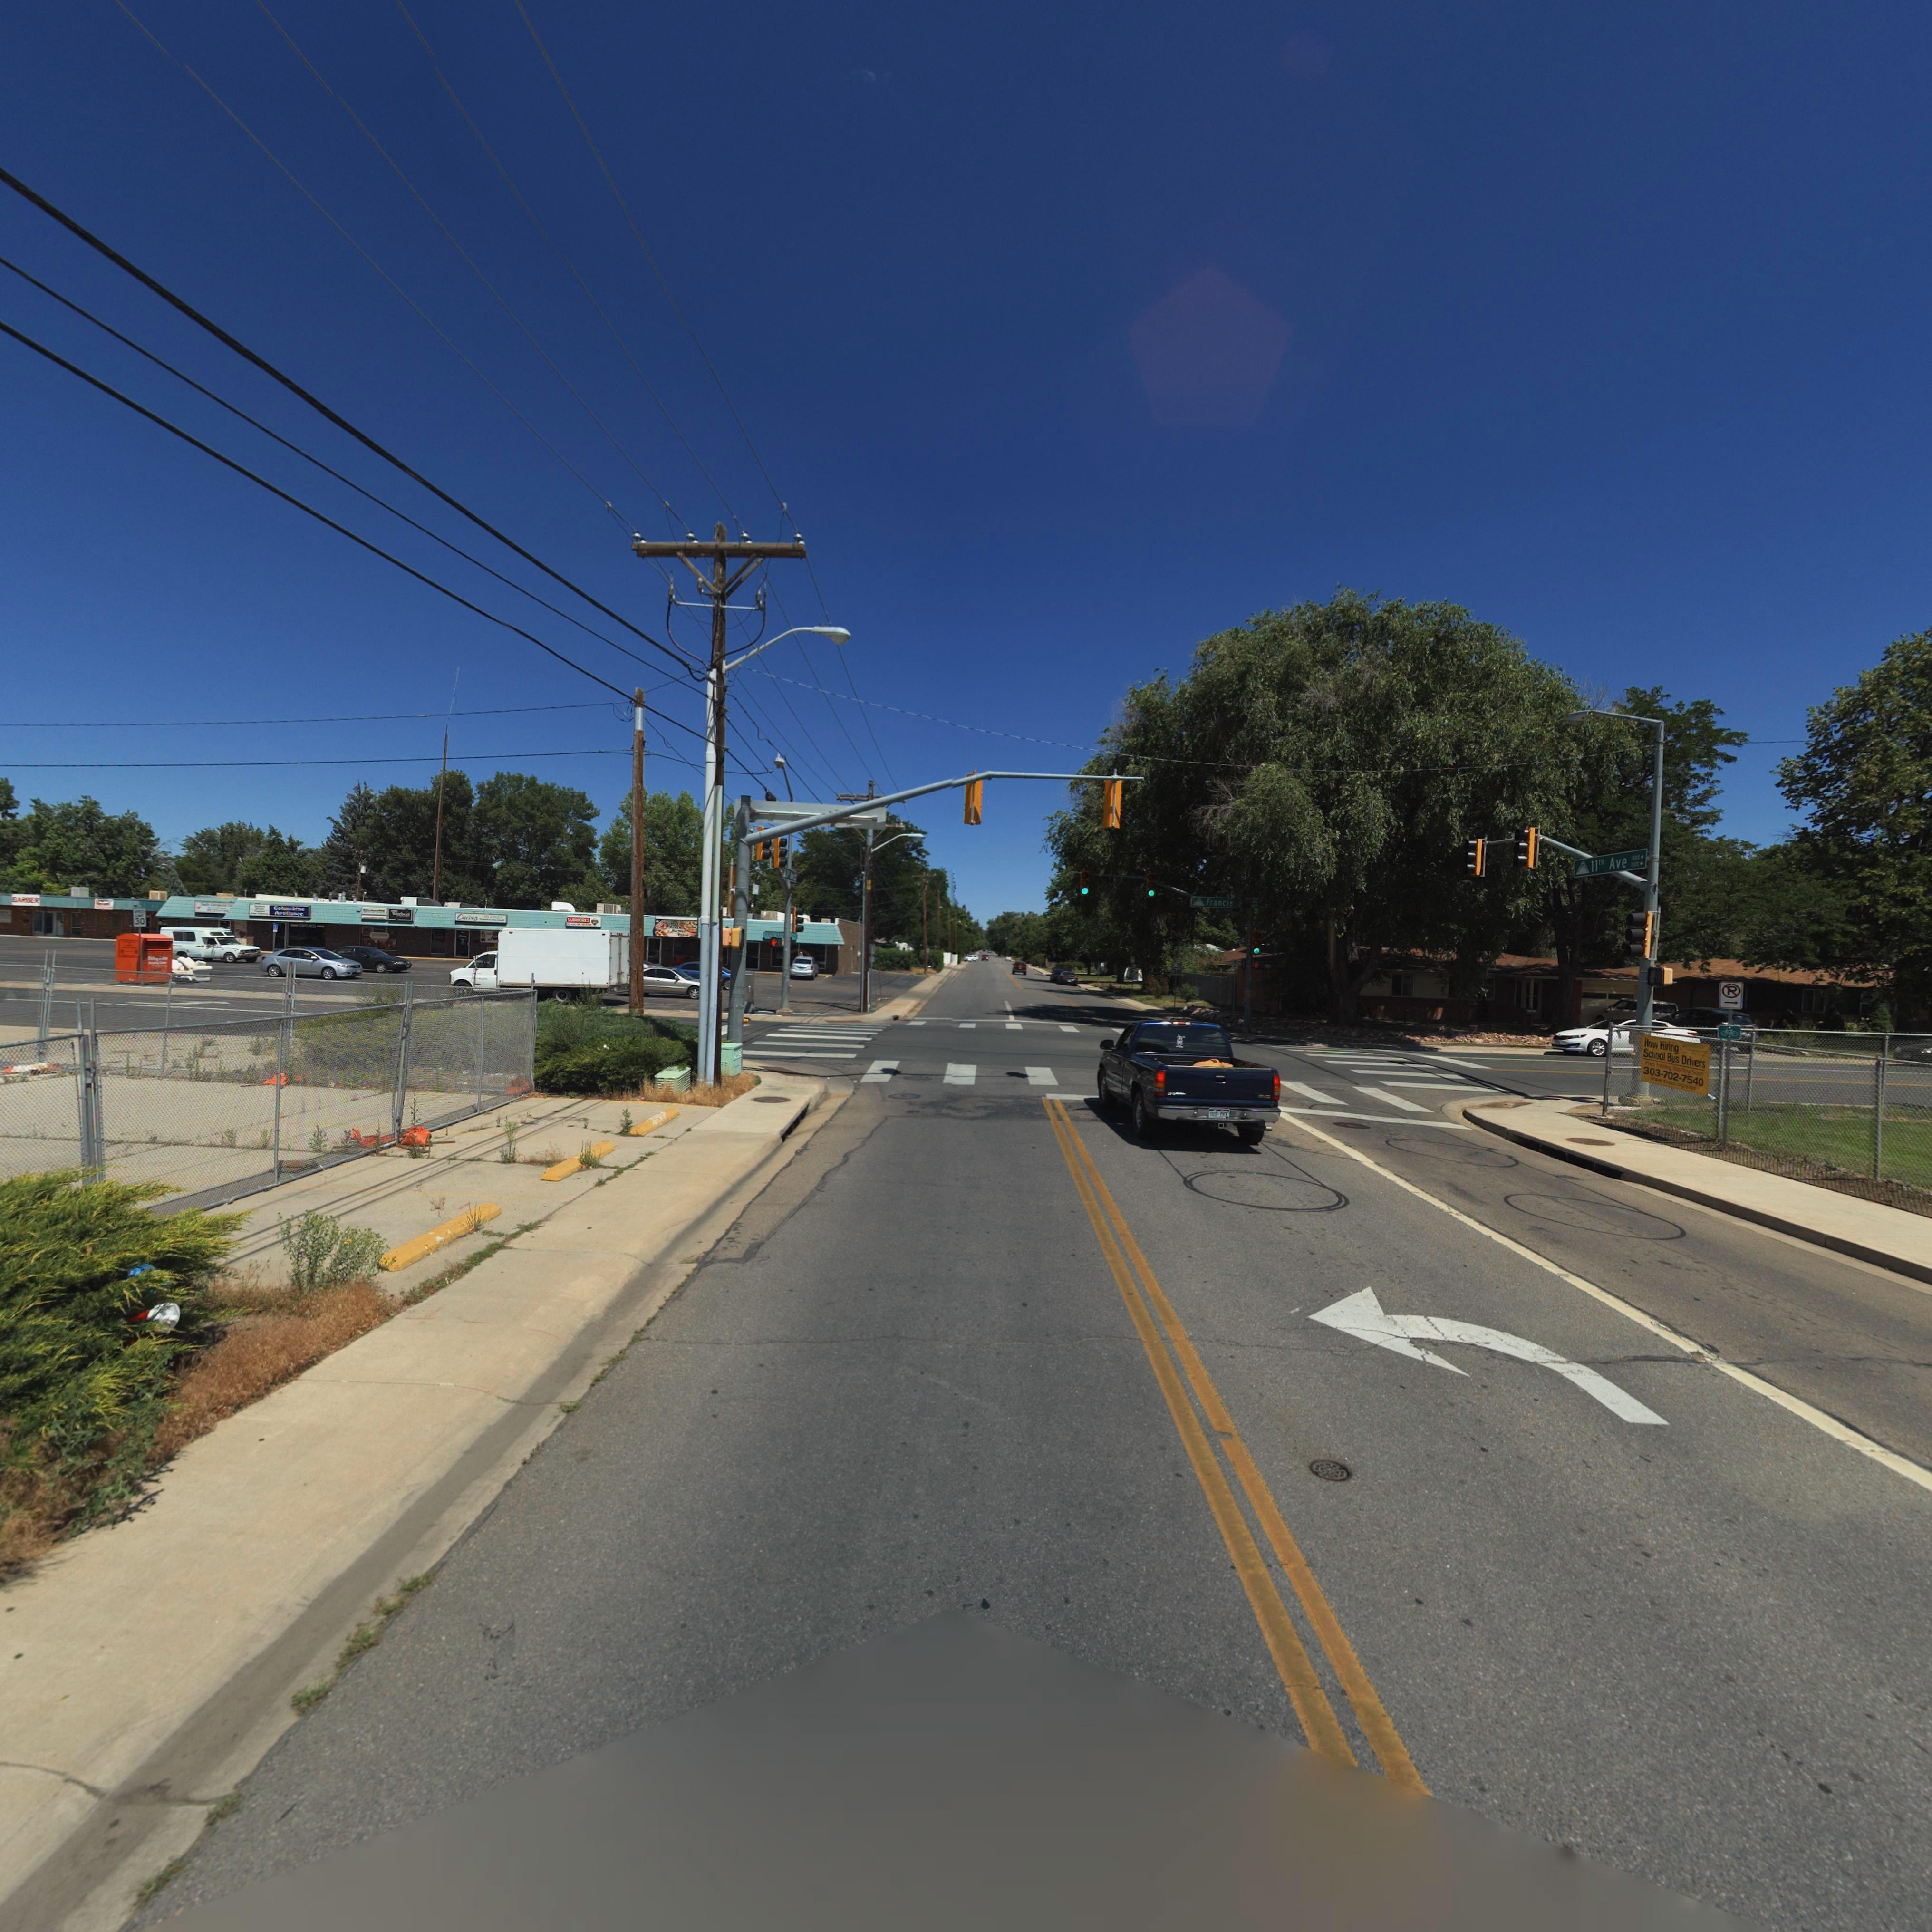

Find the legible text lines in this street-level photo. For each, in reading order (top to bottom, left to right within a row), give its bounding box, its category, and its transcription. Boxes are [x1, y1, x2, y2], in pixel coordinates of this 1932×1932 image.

[1631, 854, 1640, 860] StreetNumberRange: 1000
[1591, 856, 1628, 872] StreetName: 11th Ave
[1630, 861, 1644, 868] StreetNumberRange: 1500->
[785, 869, 794, 880] StreetName: * A*e
[1206, 898, 1234, 906] StreetName: Franics
[273, 905, 305, 911] BusinessName: Columbine
[274, 911, 304, 916] BusinessName: Appliances
[456, 913, 478, 921] BusinessName: Curves
[567, 917, 589, 922] BusinessName: SUBWORKS